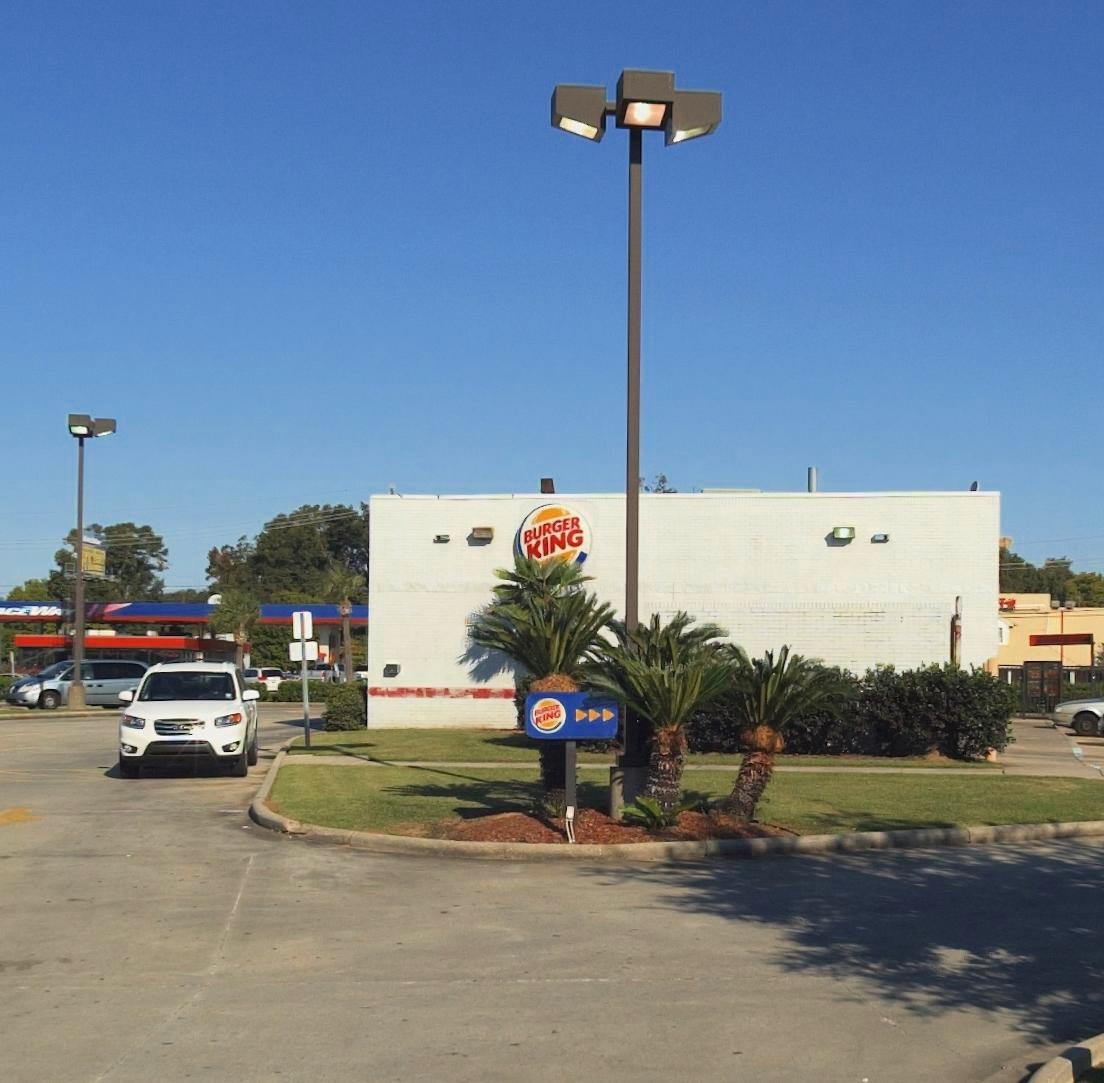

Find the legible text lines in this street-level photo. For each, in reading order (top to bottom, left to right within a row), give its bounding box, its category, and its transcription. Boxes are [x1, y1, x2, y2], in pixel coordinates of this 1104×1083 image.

[521, 512, 582, 547] BusinessName: BURGER
[525, 527, 586, 563] BusinessName: KING
[4, 604, 79, 617] BusinessName: CE WAY
[534, 708, 563, 727] BusinessName: KING